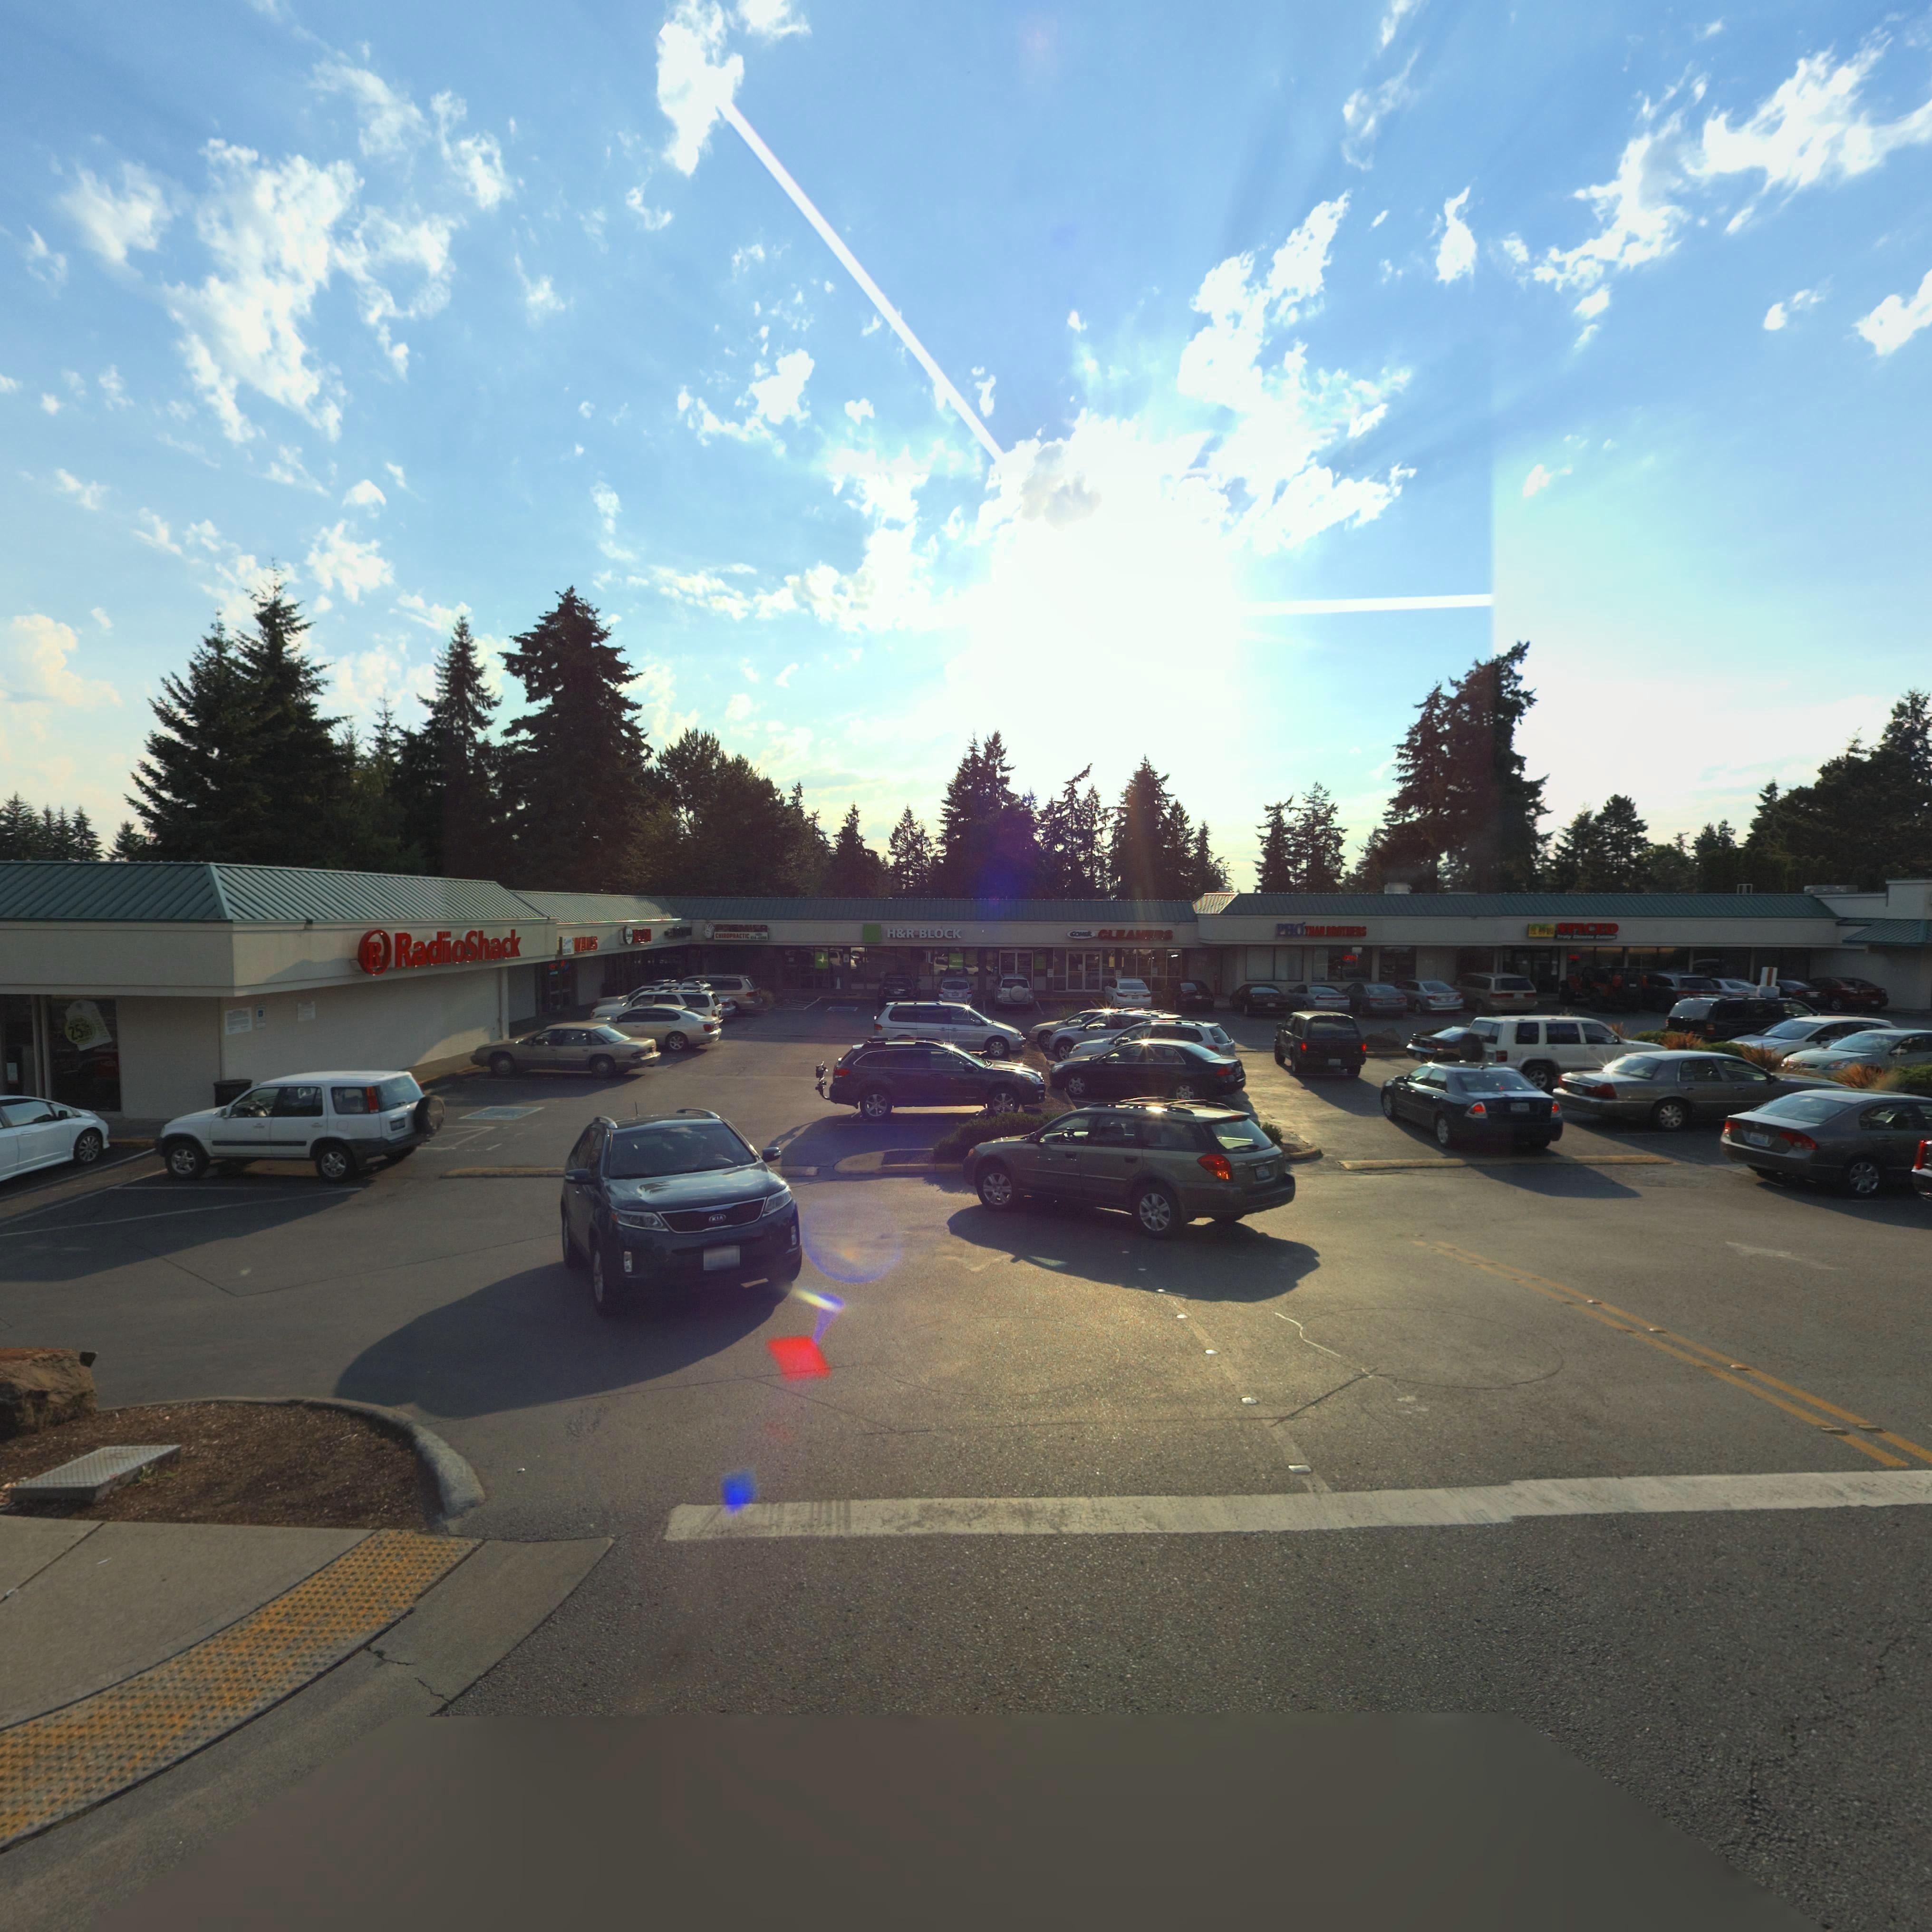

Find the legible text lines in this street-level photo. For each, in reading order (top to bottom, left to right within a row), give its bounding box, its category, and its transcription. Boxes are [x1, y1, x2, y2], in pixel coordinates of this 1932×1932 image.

[715, 933, 750, 938] BusinessName: CHIROPRACTIC
[888, 928, 961, 937] BusinessName: H*R BLOCK
[1097, 928, 1174, 940] BusinessName: CL*A****
[1276, 922, 1295, 936] BusinessName: PH
[1557, 923, 1619, 935] BusinessName: SPICED
[394, 928, 522, 968] BusinessName: RadioShack